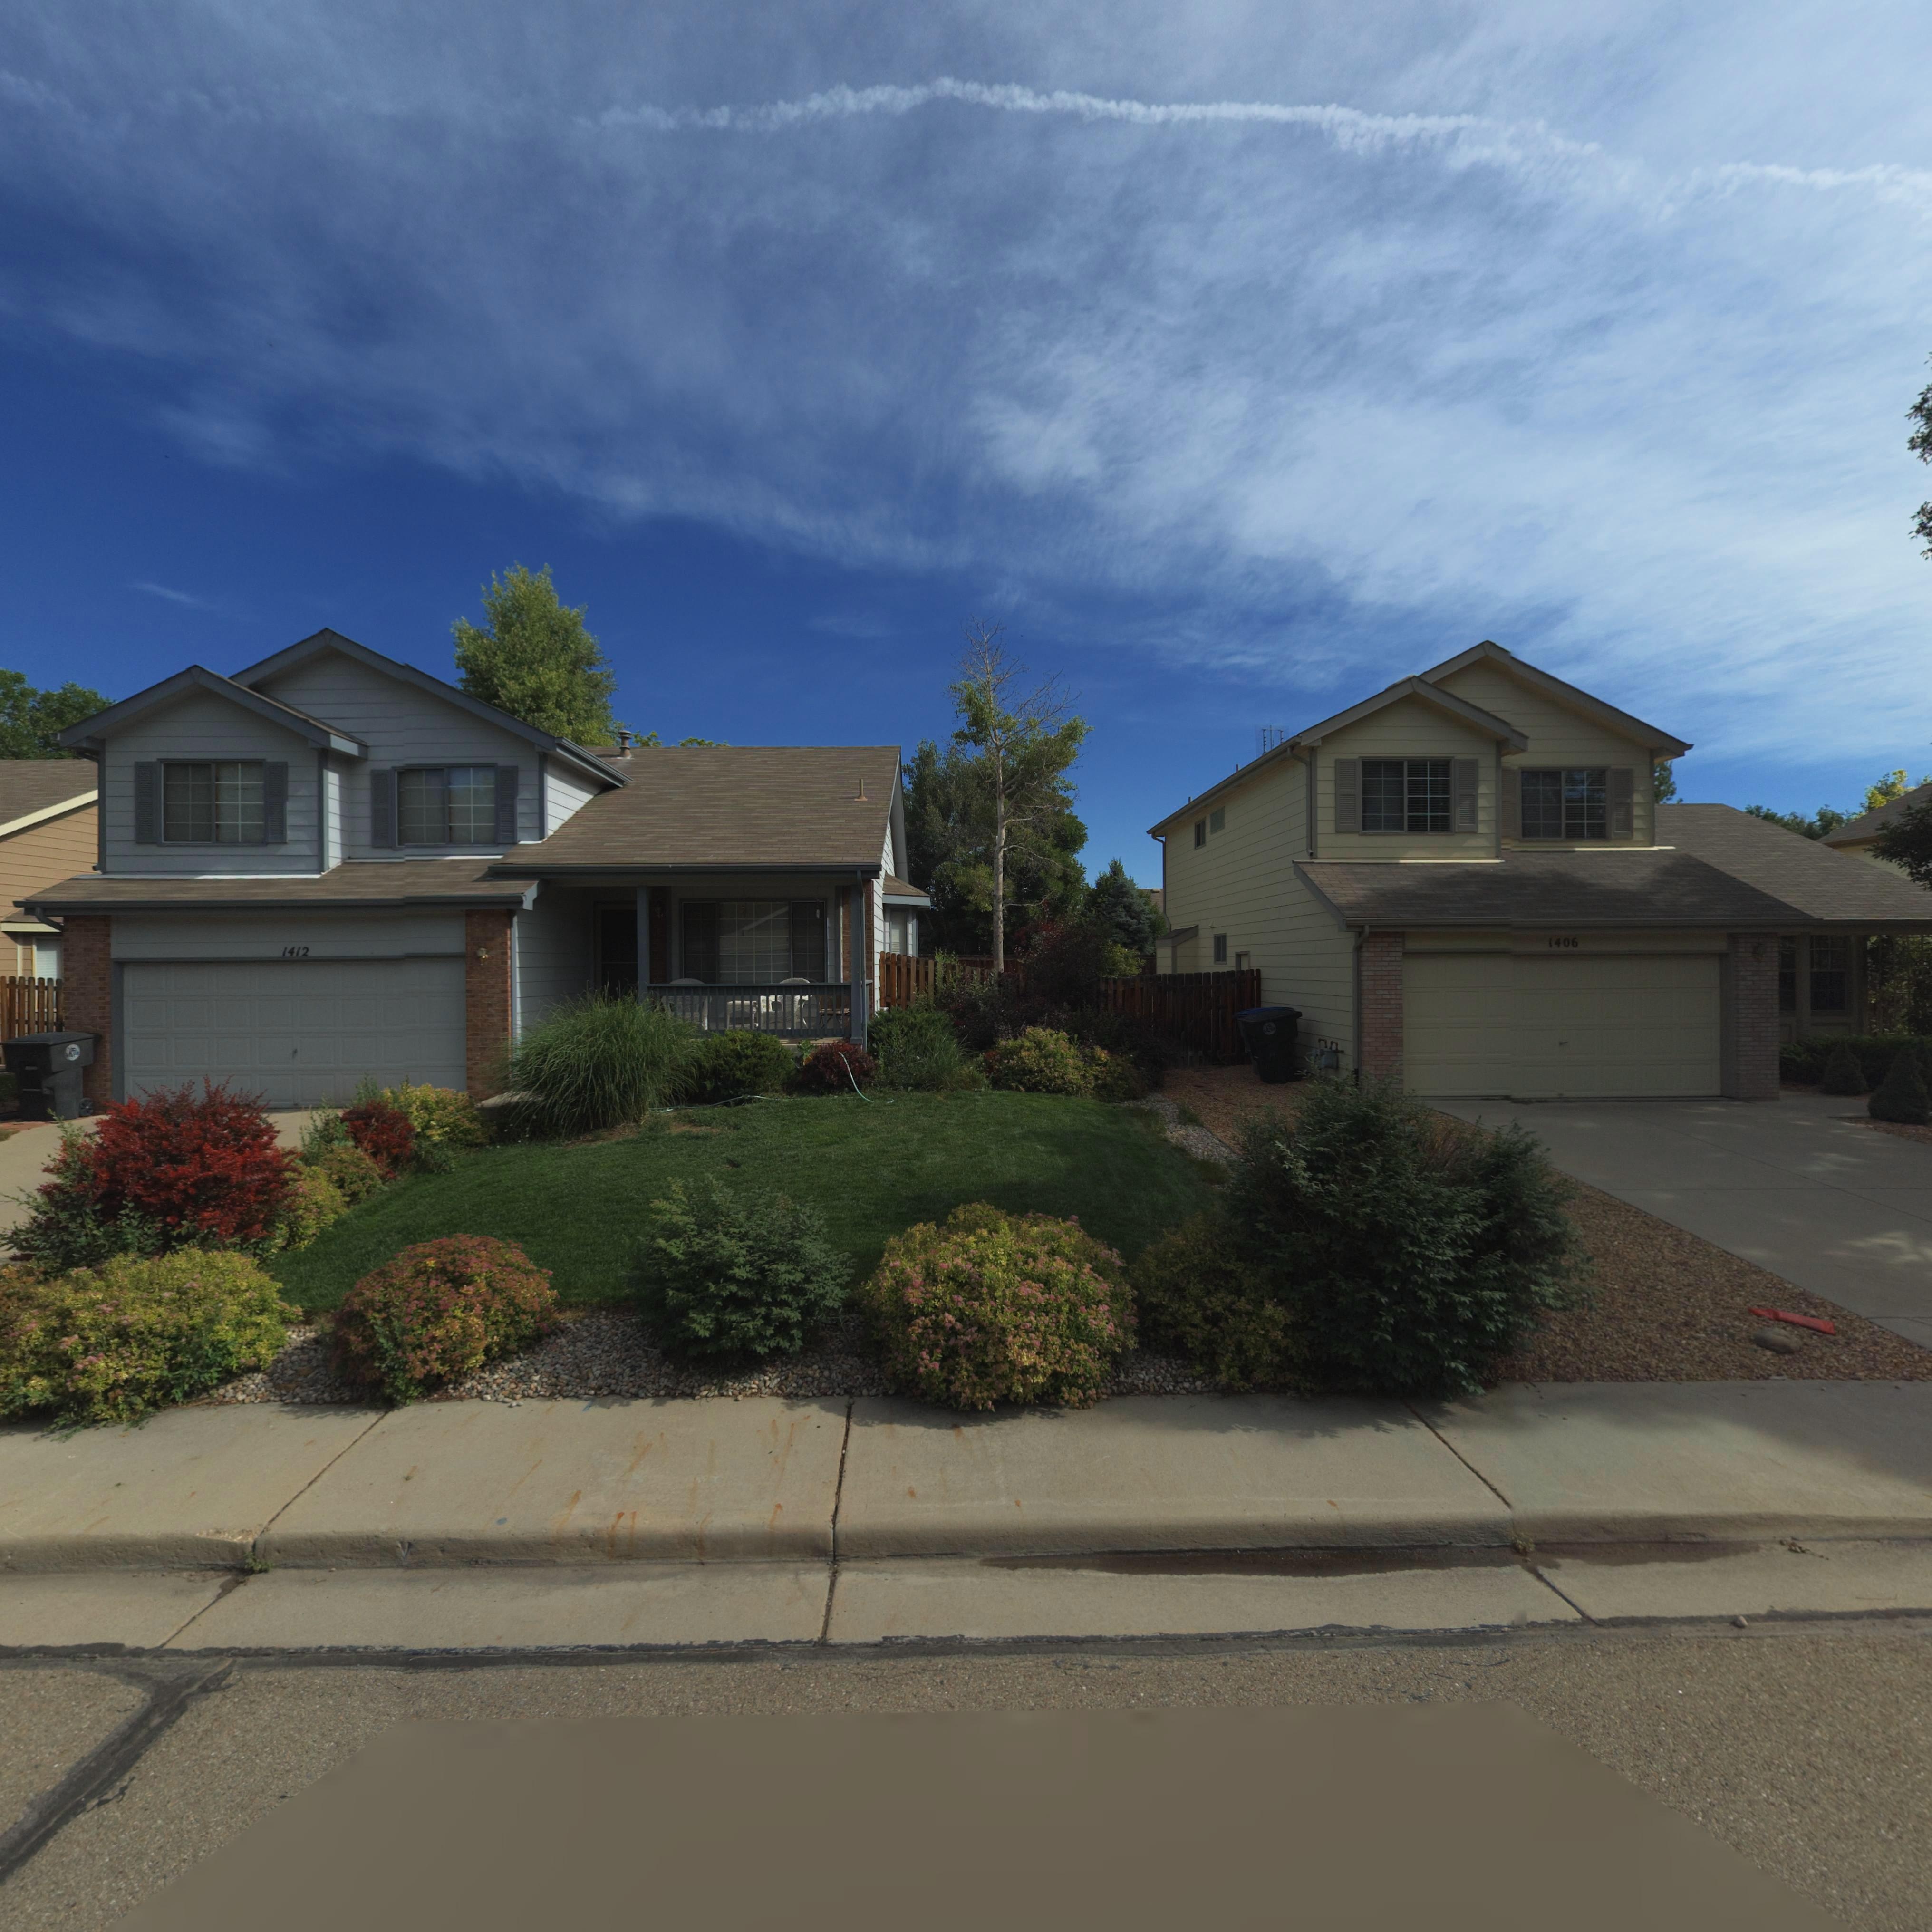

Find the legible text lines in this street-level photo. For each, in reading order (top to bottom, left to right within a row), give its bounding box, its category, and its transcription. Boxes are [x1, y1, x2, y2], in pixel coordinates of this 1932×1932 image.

[1548, 937, 1578, 948] StreetNumber: 1406
[282, 946, 309, 956] StreetNumber: 1412